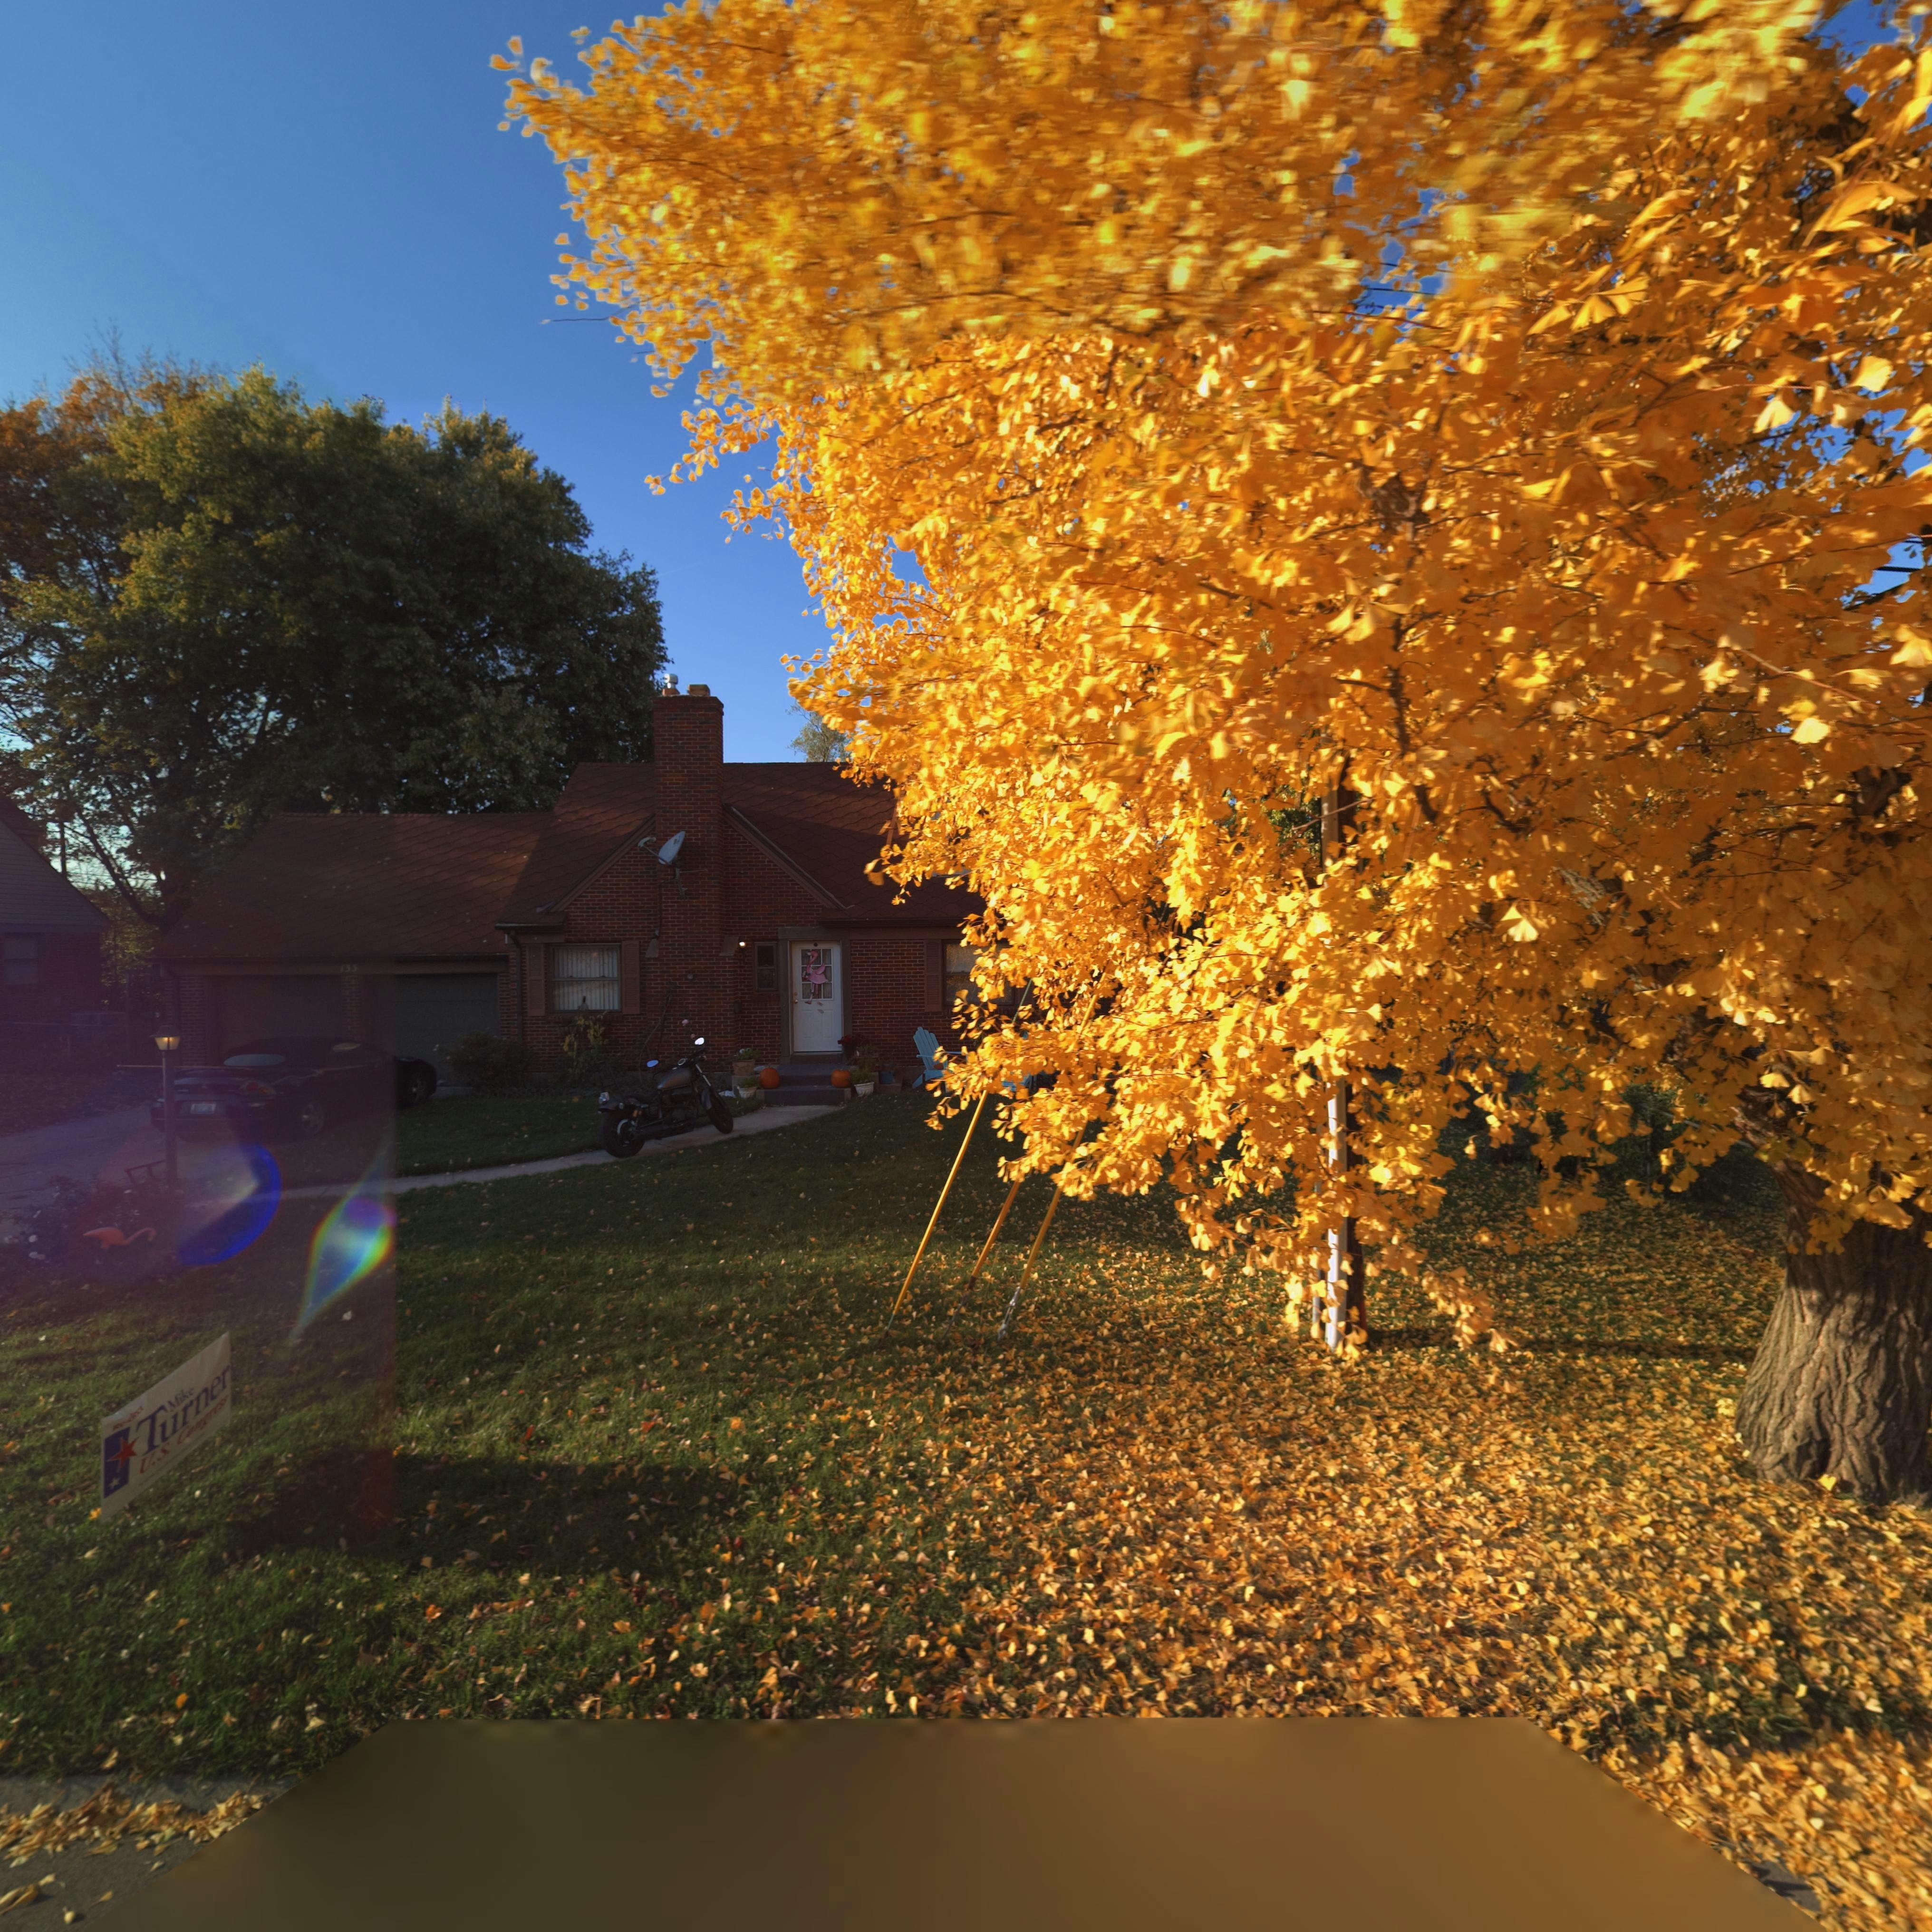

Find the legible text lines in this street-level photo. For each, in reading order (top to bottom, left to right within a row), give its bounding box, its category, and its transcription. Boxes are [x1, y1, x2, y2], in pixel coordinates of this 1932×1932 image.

[339, 963, 358, 973] StreetNumber: 133